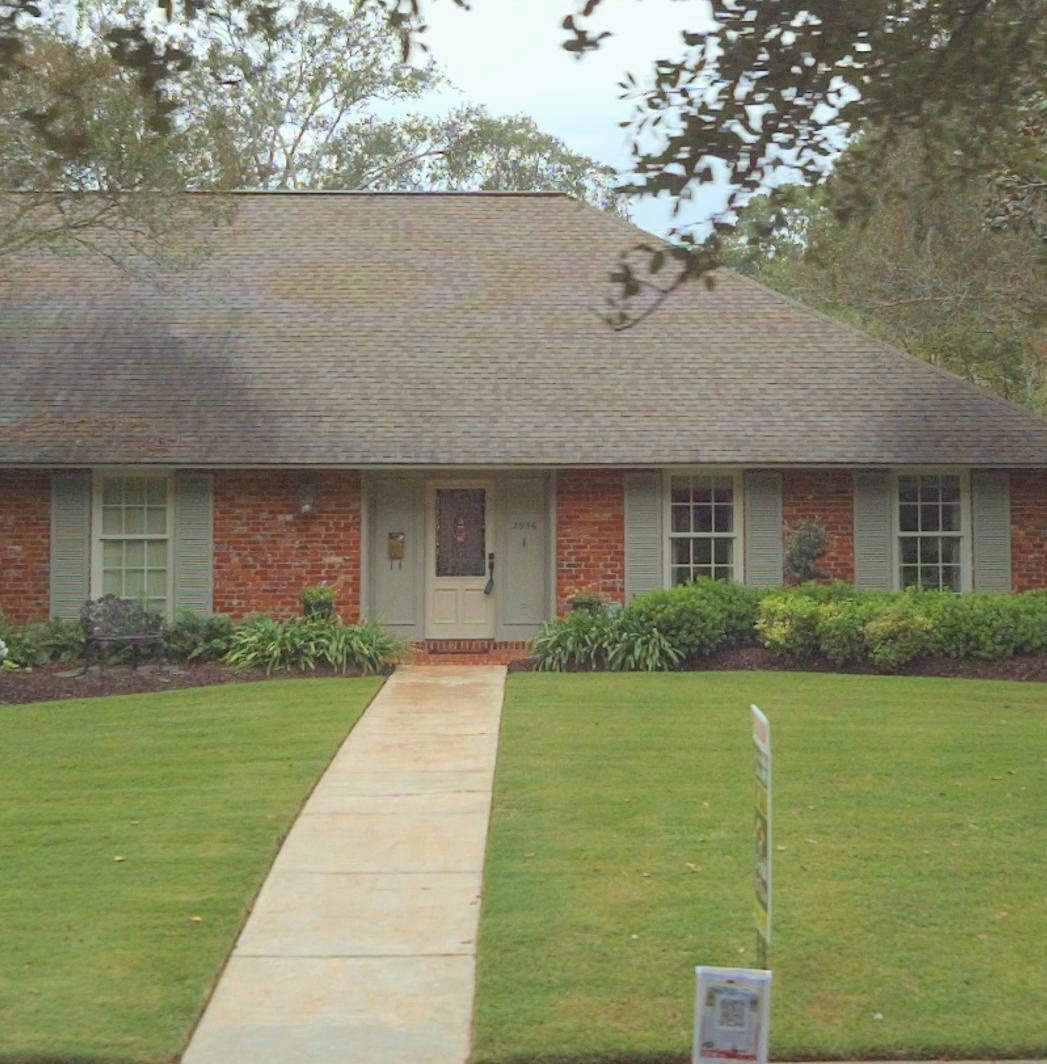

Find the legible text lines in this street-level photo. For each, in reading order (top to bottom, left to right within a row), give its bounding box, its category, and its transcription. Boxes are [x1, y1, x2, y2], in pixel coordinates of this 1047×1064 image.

[513, 521, 538, 530] StreetNumber: 2936